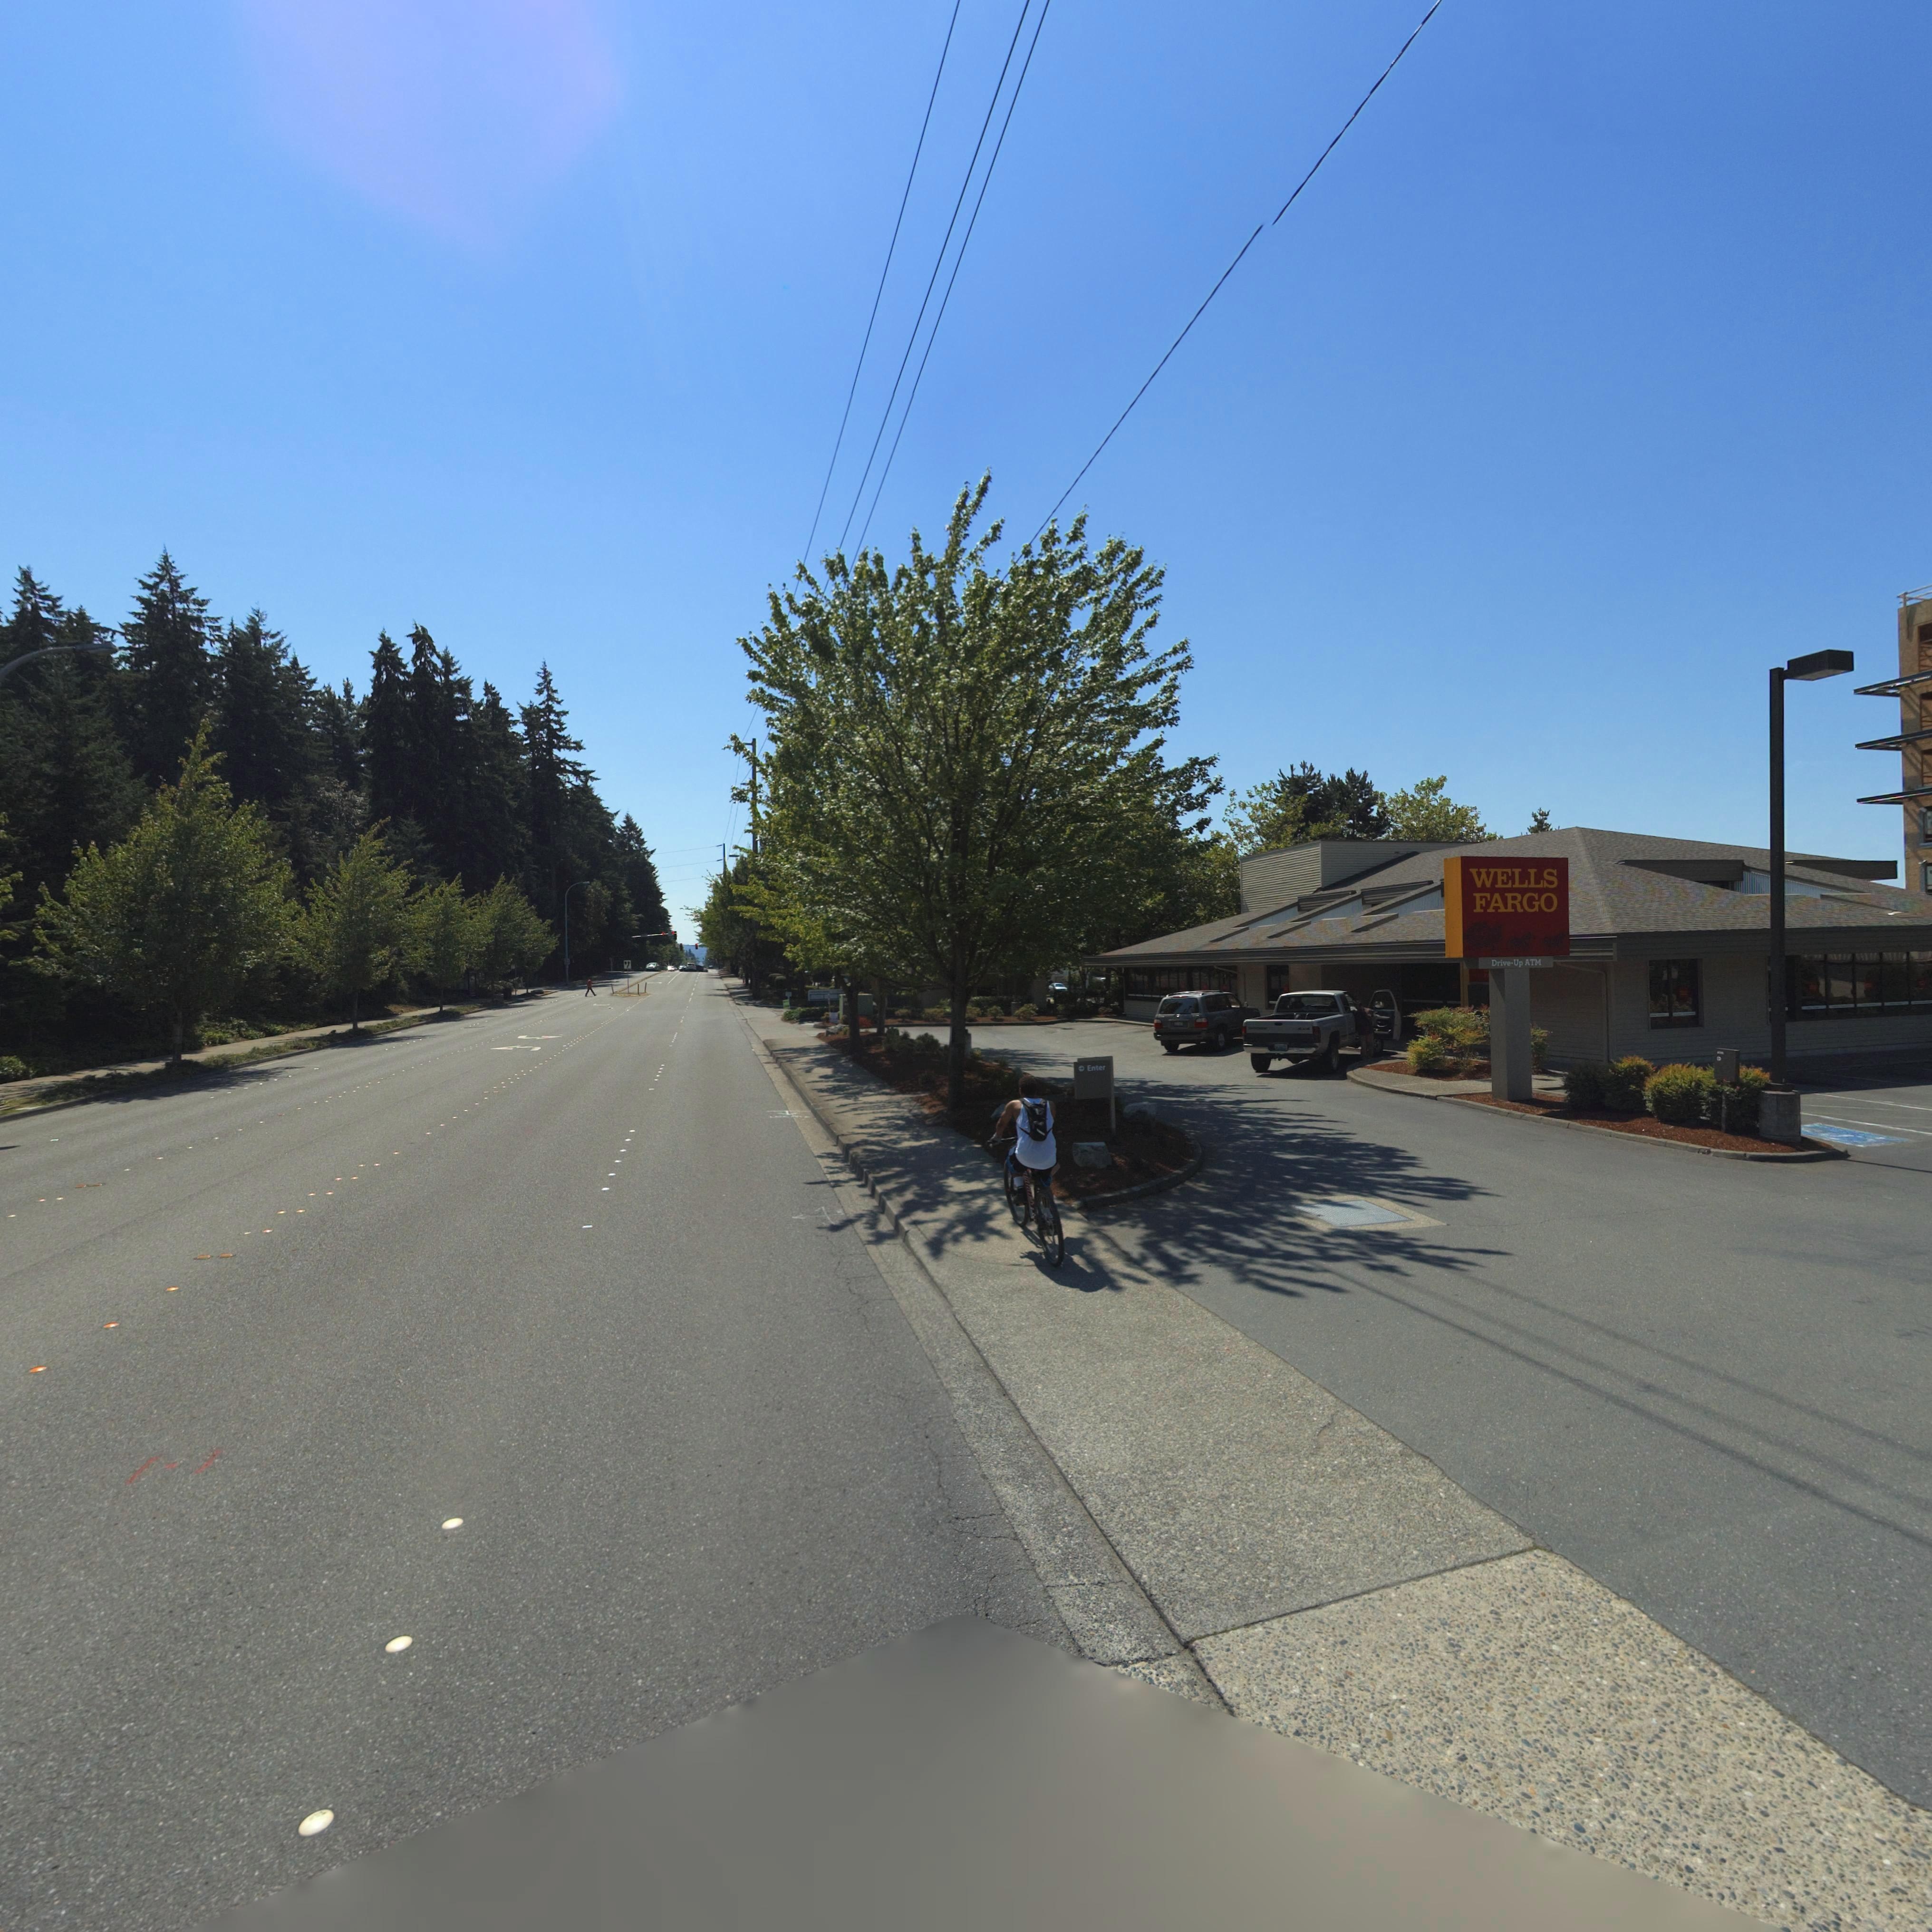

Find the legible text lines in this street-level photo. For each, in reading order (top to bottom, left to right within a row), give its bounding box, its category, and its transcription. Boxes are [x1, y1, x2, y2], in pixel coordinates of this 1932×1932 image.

[1469, 869, 1557, 888] BusinessName: WELLS
[1472, 891, 1557, 913] BusinessName: FARGO